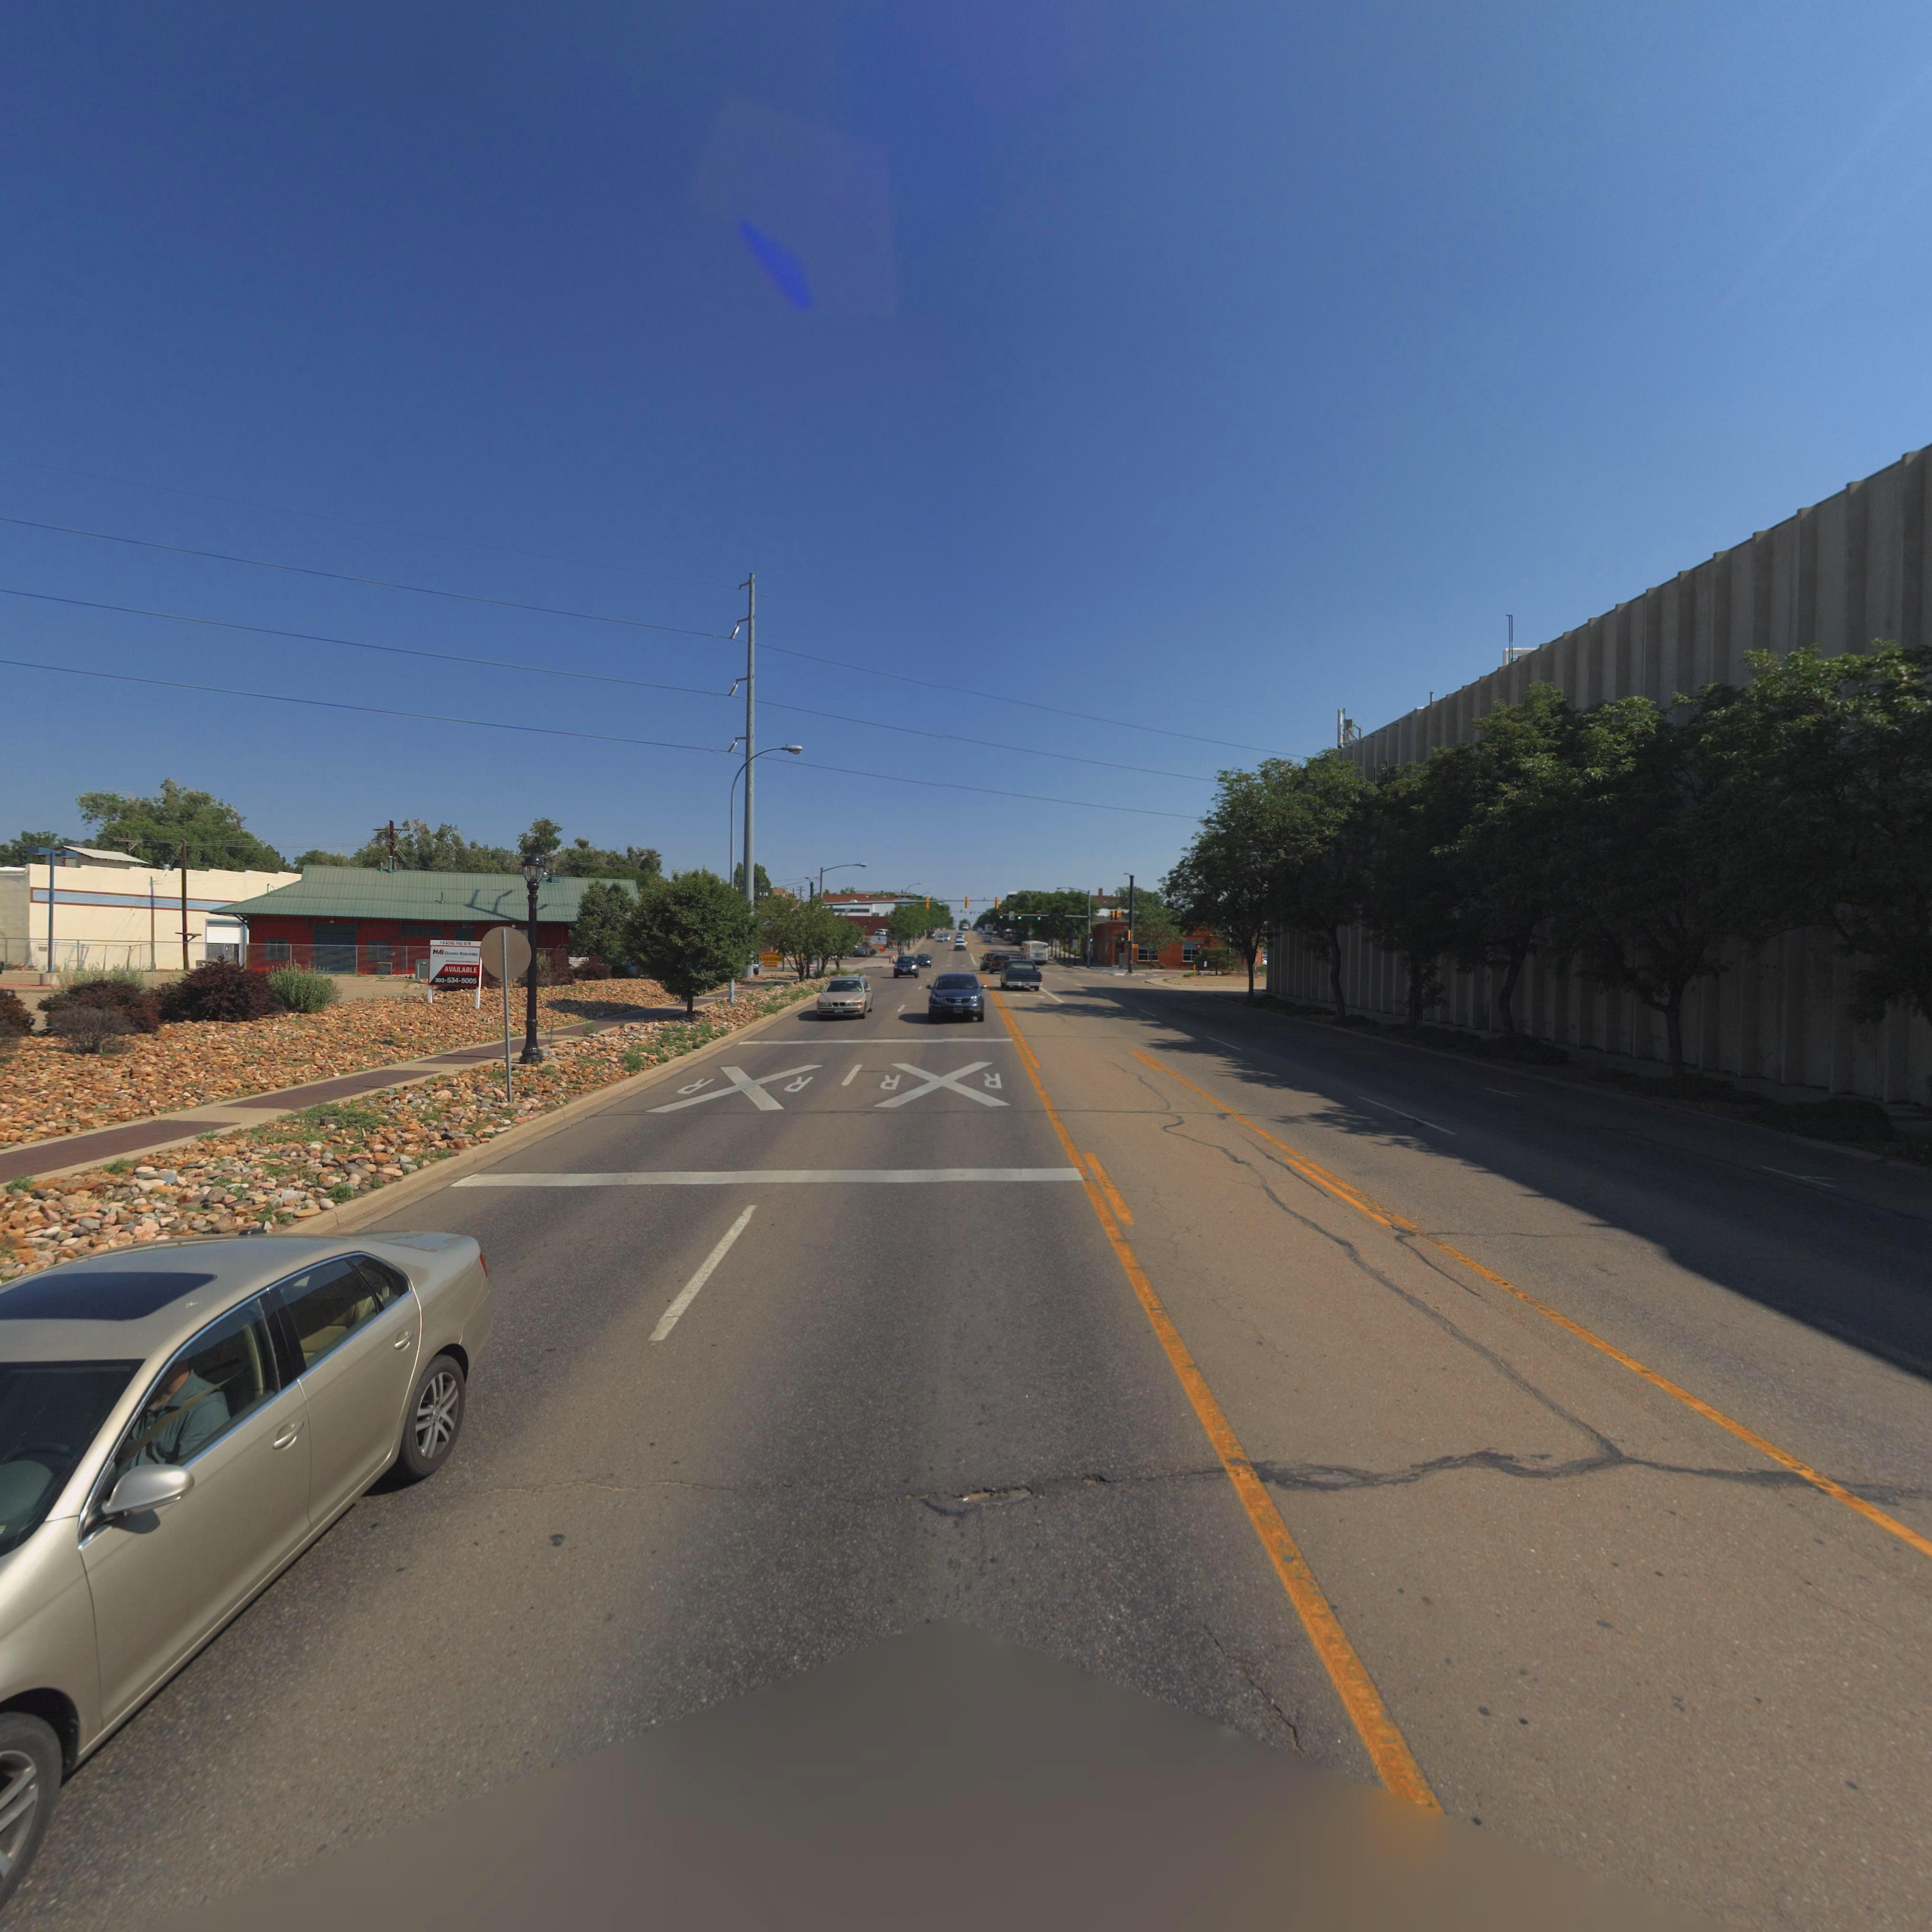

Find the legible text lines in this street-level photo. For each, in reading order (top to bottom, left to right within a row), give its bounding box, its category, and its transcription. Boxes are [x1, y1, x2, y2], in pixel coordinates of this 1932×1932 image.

[760, 956, 782, 961] BusinessName: LIQ****